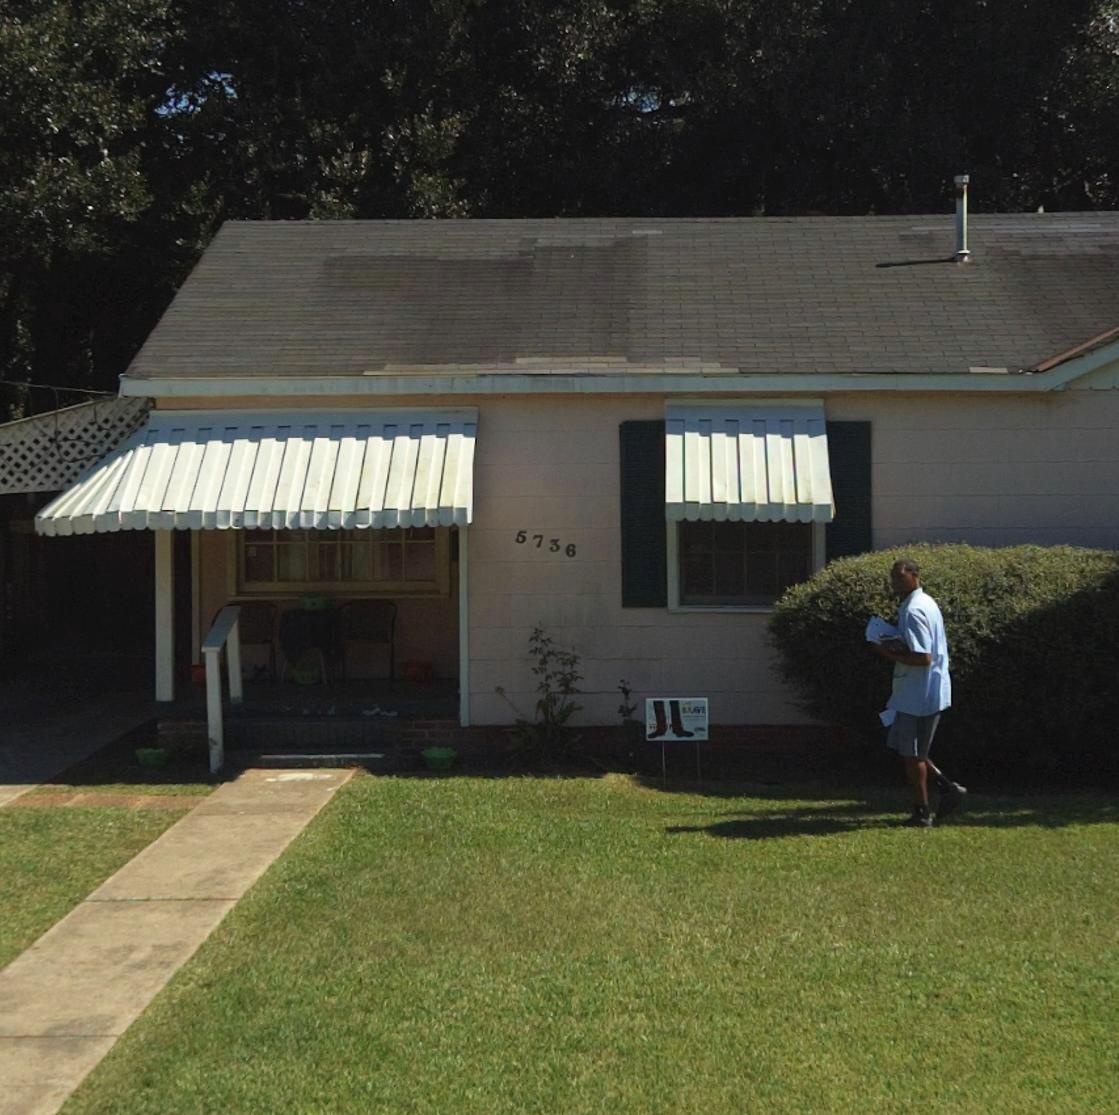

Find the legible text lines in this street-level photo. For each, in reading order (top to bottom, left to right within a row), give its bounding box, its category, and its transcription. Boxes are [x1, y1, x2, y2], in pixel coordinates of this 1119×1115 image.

[513, 528, 578, 561] StreetNumber: 5736